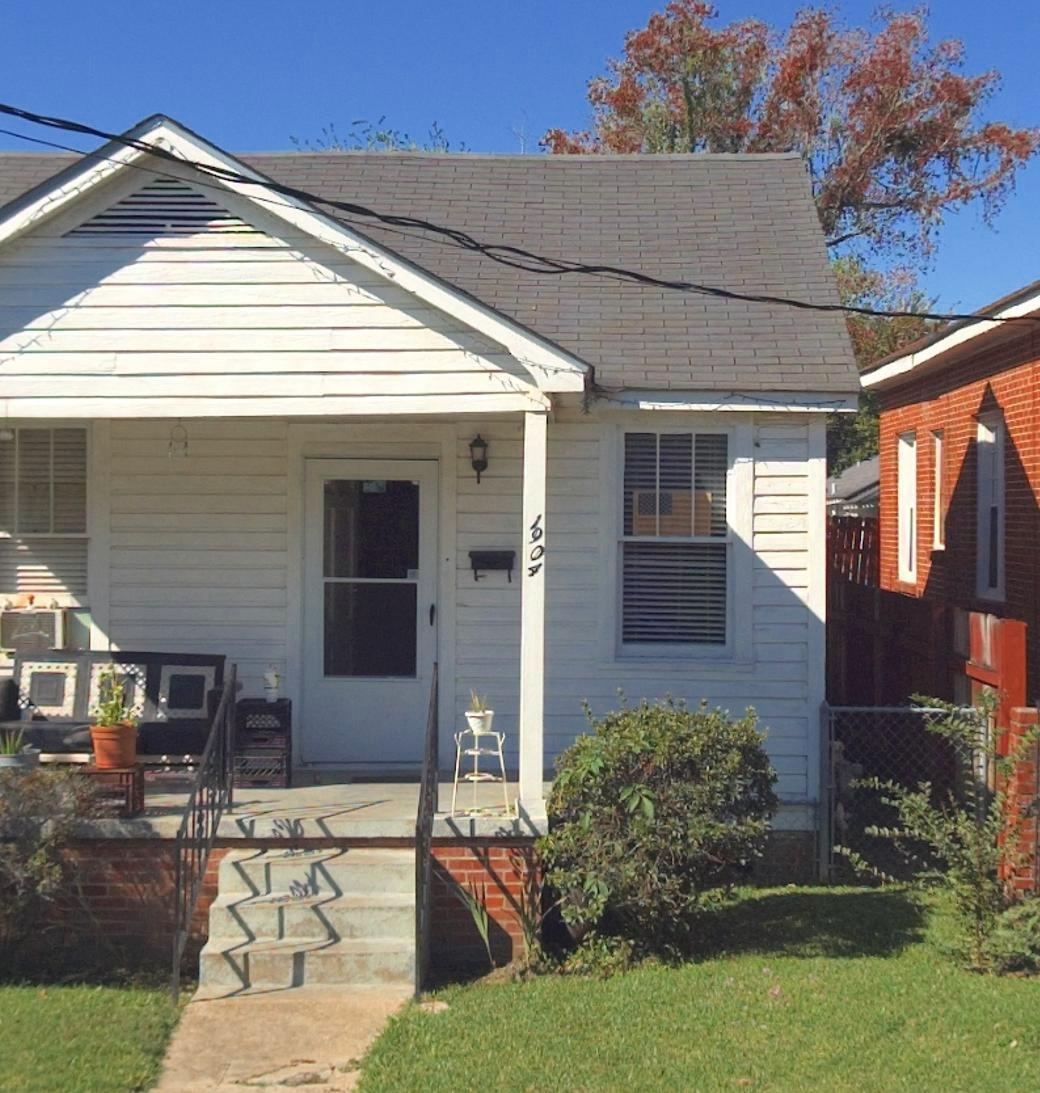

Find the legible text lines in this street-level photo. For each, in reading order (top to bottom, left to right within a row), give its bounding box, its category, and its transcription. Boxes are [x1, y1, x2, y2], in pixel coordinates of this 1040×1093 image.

[525, 509, 546, 582] StreetNumber: 1904